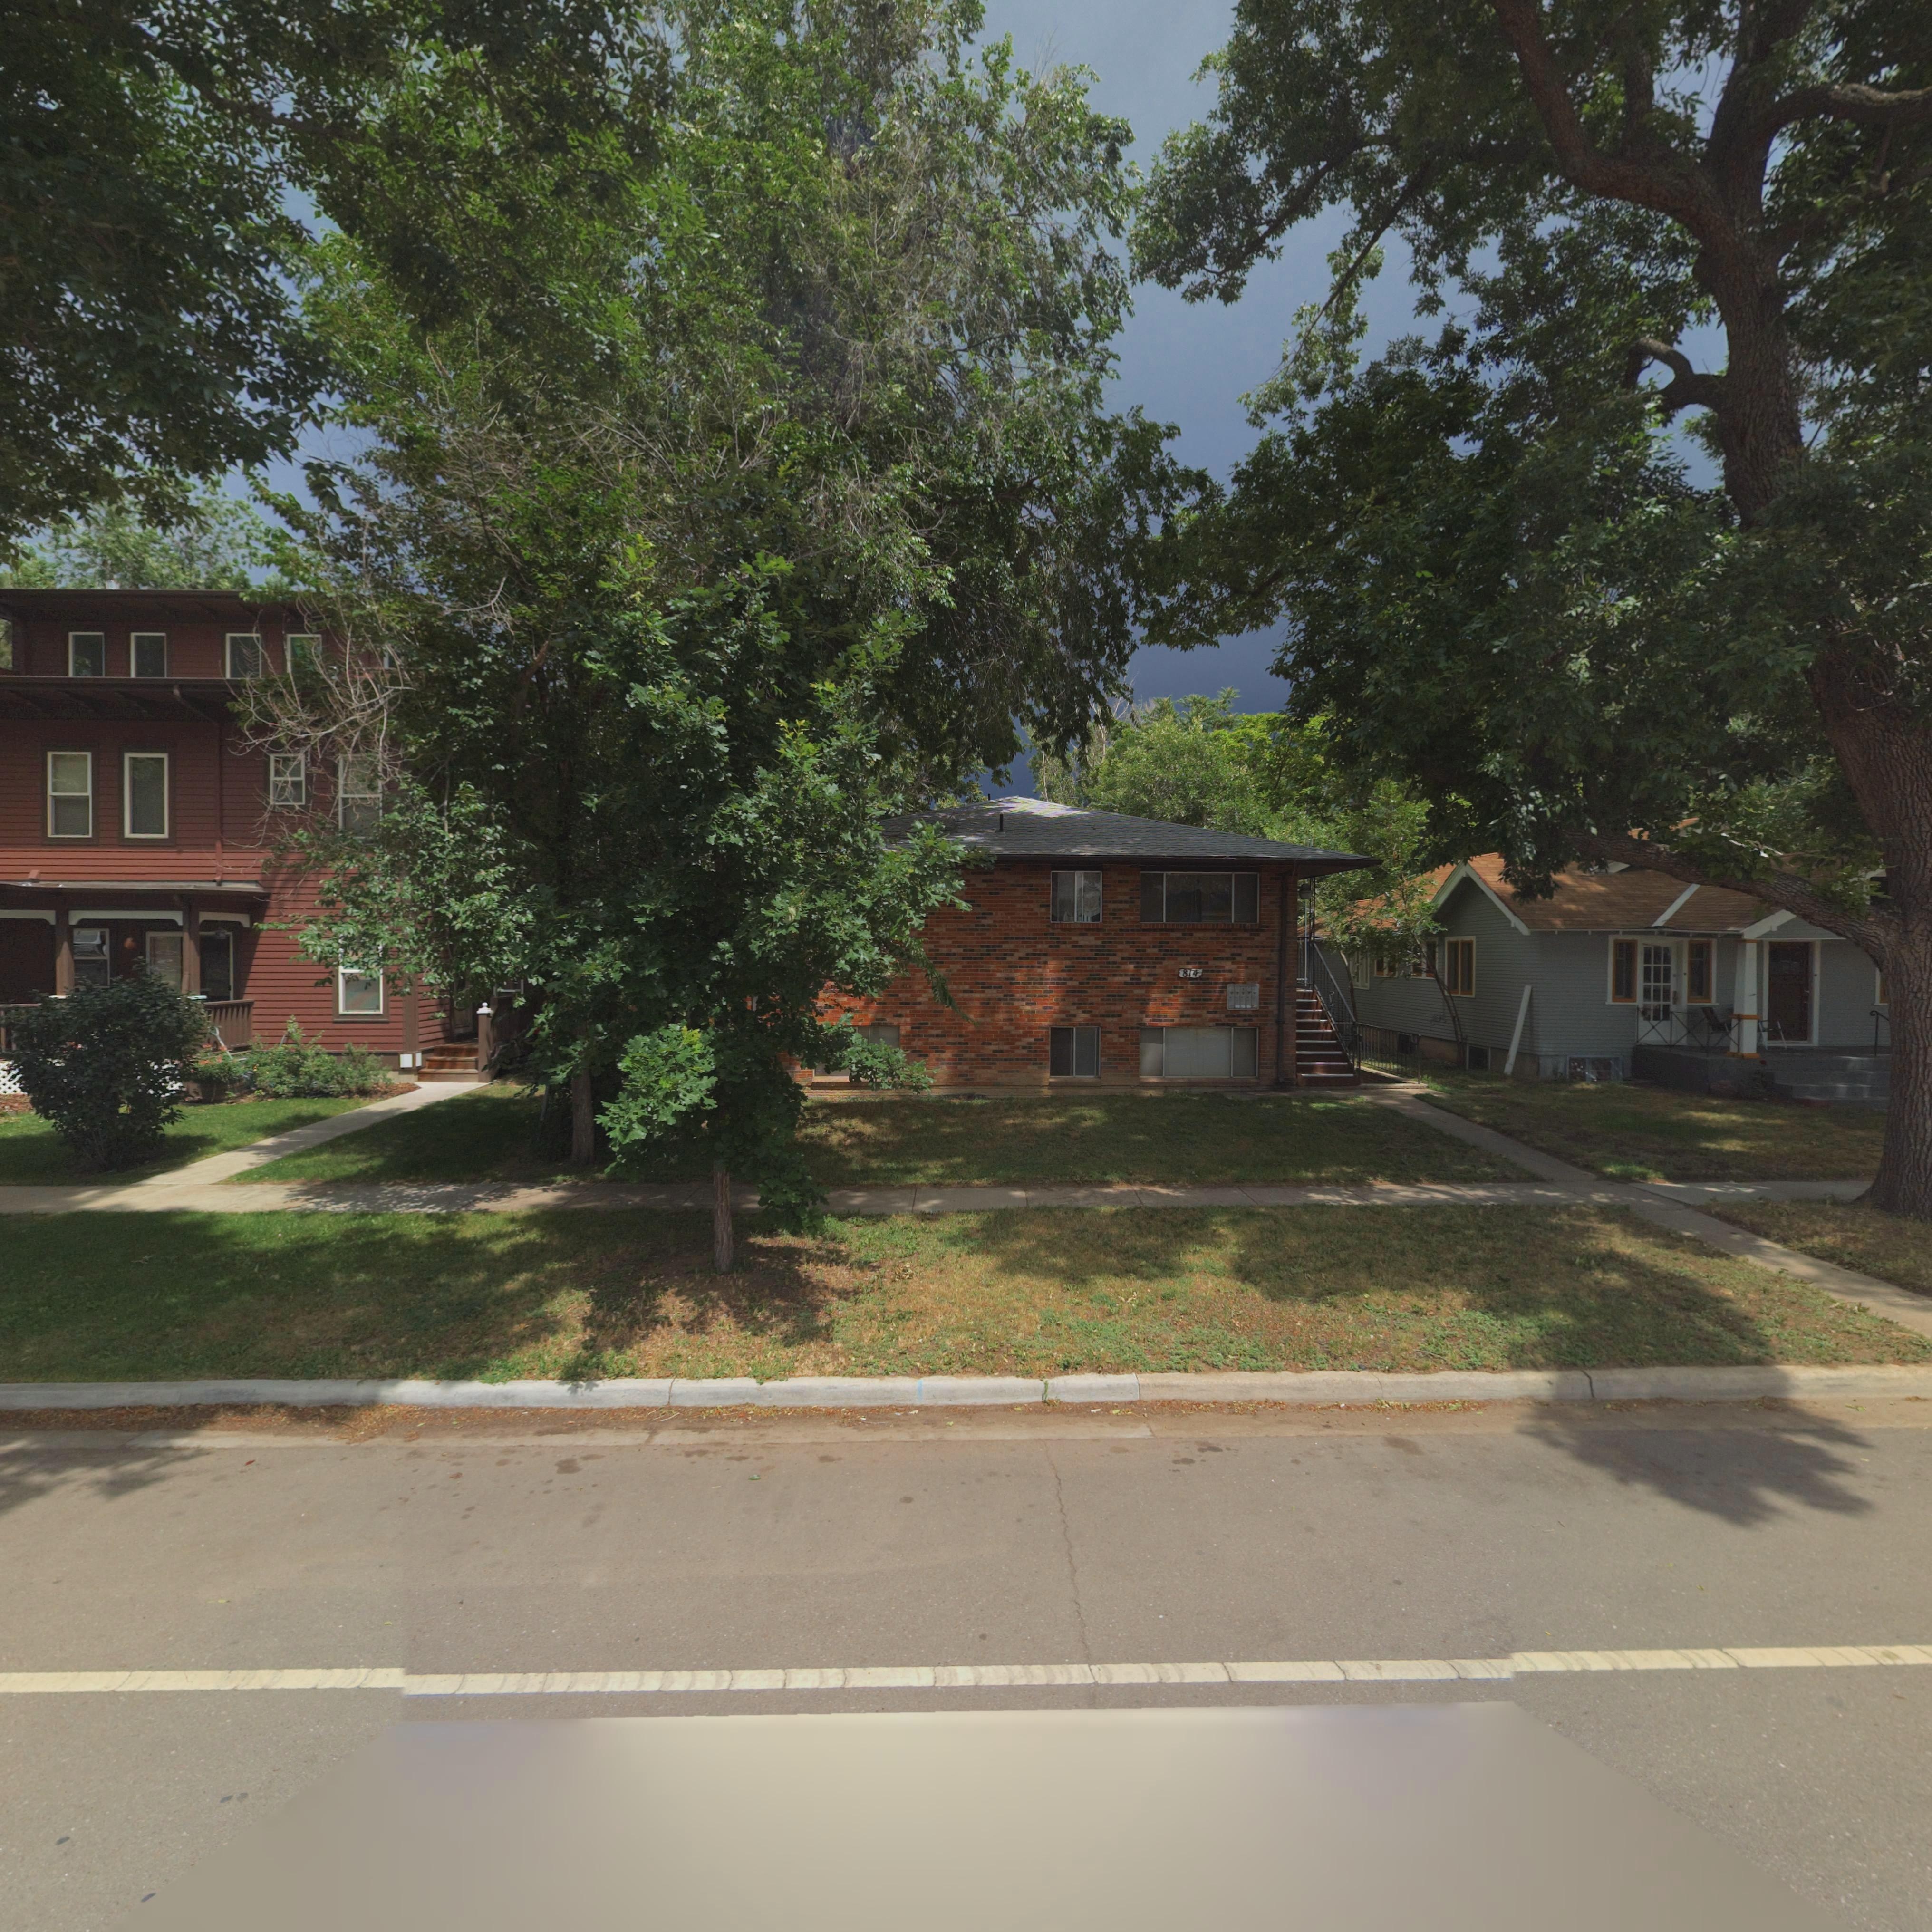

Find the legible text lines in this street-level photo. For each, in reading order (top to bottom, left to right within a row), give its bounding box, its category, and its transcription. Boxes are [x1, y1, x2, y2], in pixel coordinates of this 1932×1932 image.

[1182, 969, 1199, 977] StreetNumber: 814